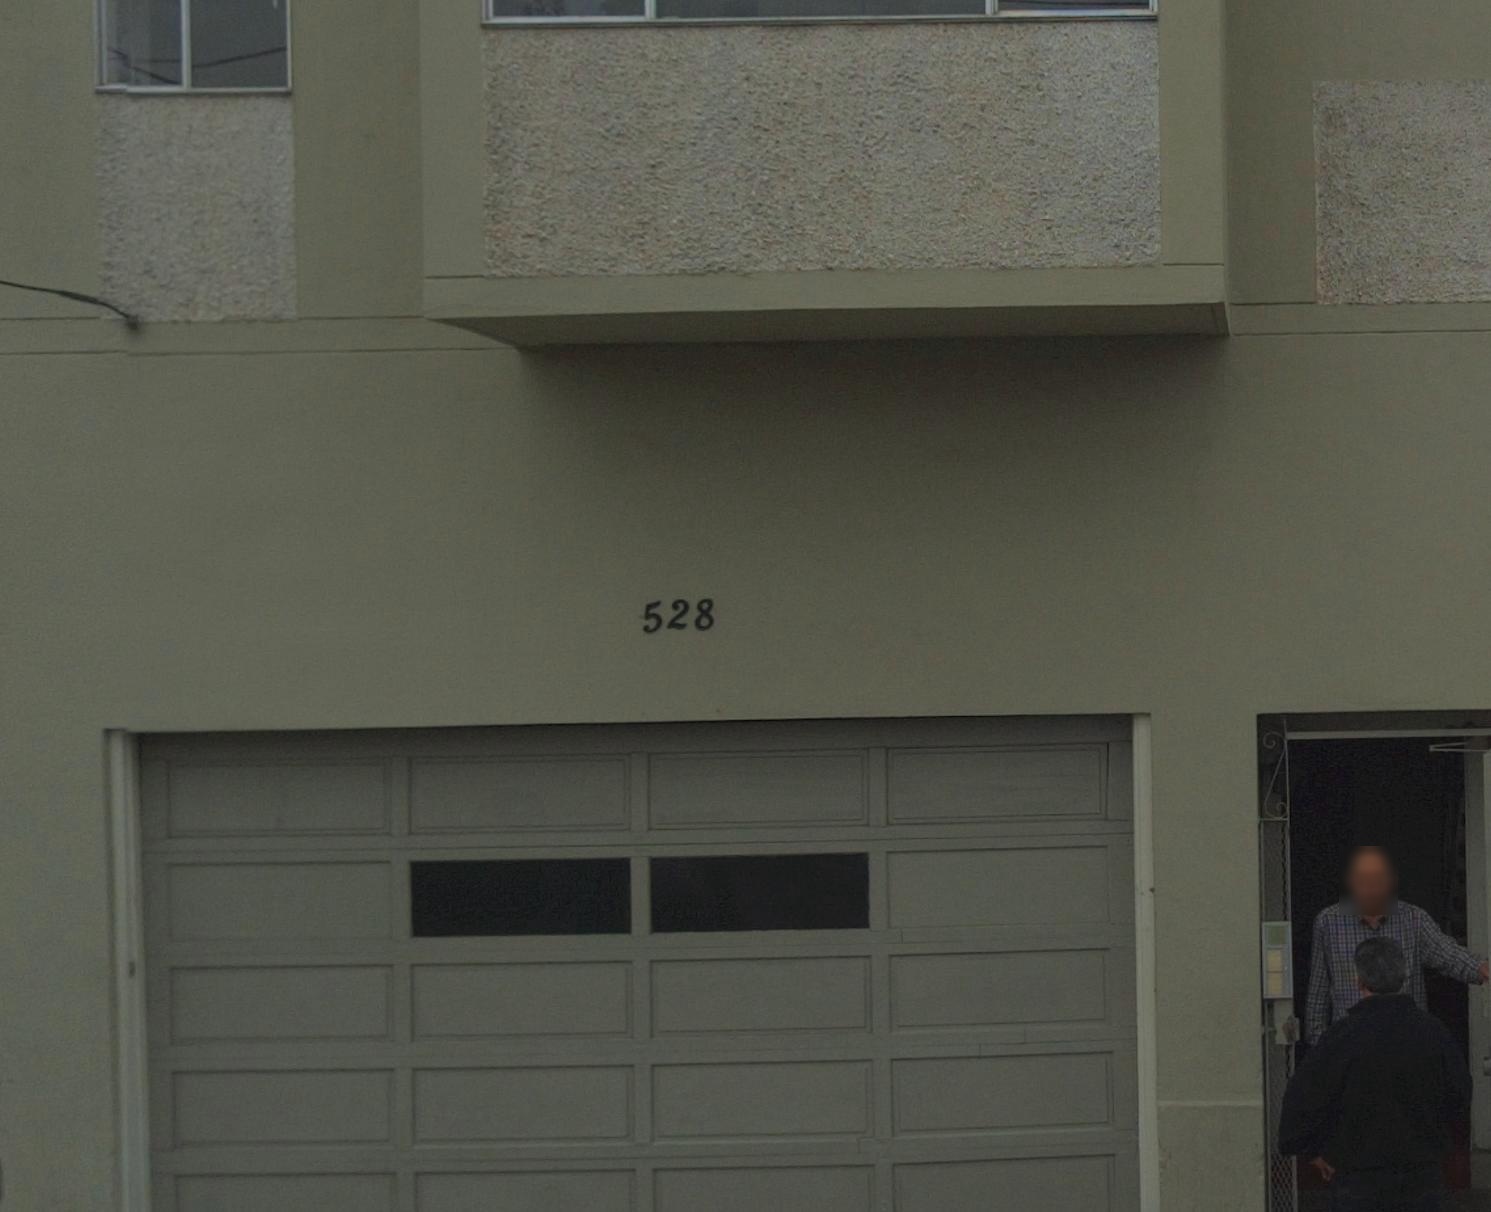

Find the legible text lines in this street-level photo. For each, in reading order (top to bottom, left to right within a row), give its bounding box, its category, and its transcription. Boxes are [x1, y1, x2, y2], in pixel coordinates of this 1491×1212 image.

[641, 595, 719, 638] StreetNumber: 528